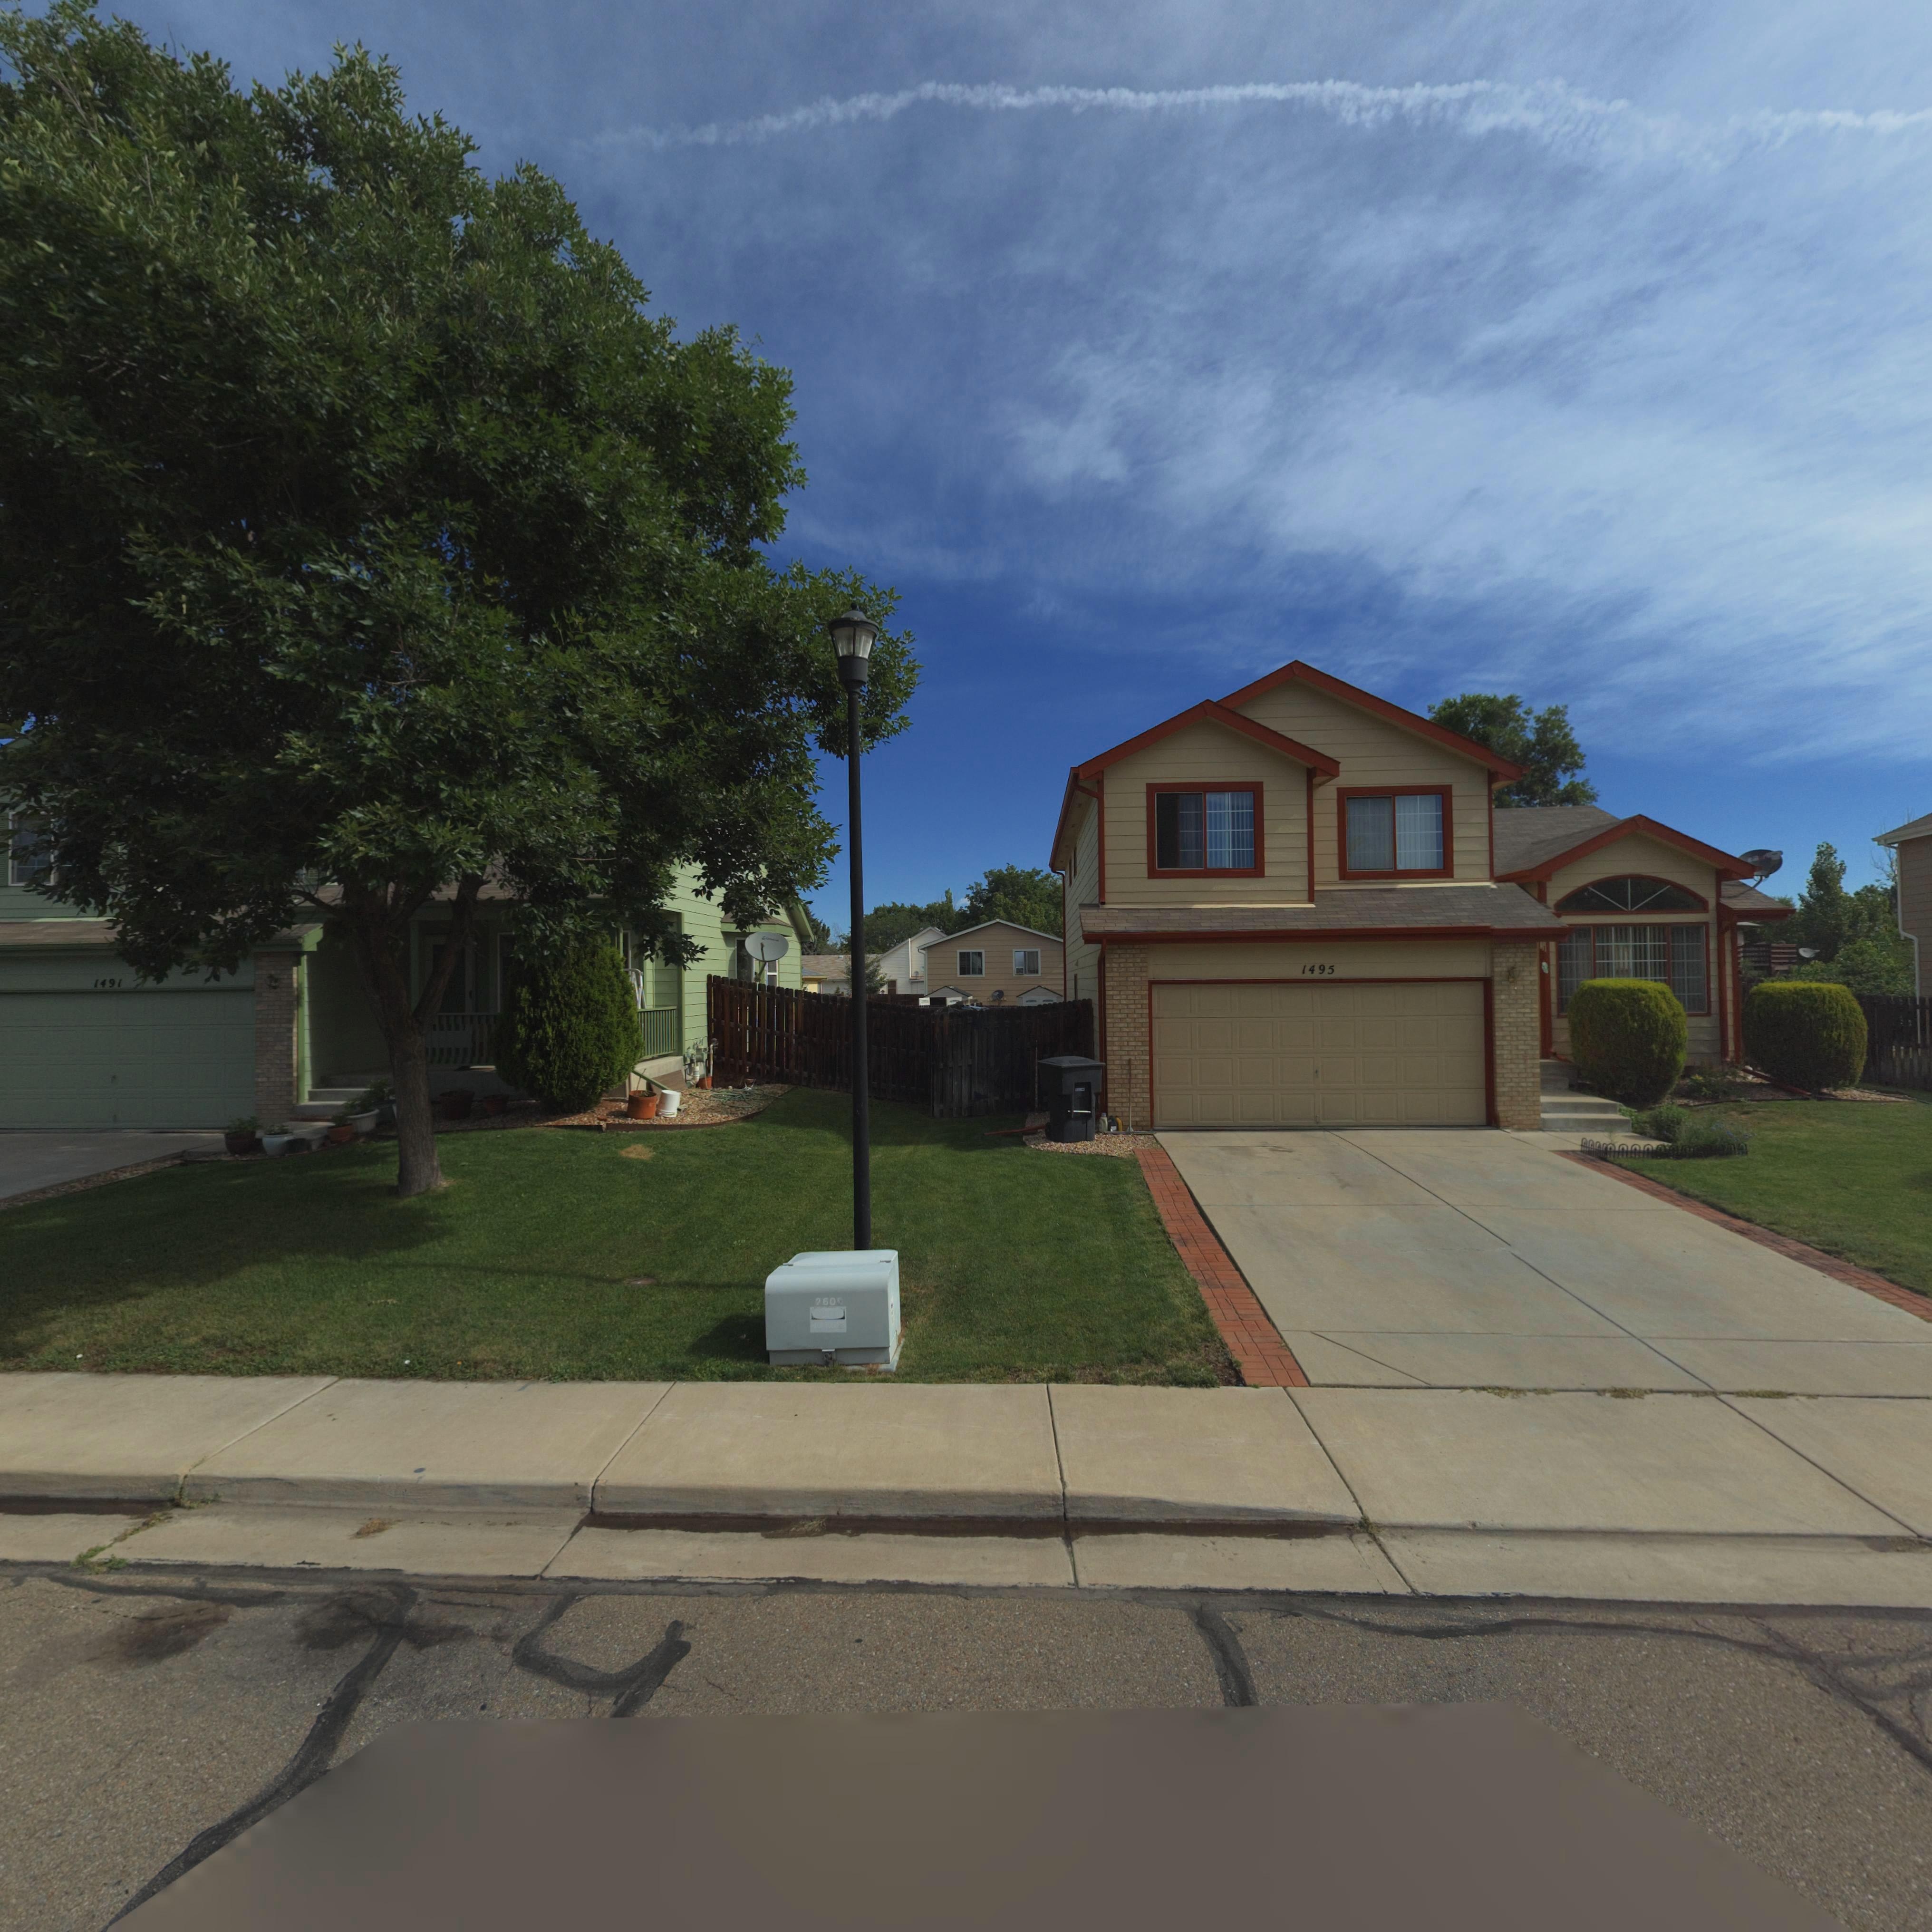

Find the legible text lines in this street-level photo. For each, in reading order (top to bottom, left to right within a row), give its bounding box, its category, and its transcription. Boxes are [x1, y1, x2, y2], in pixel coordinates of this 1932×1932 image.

[1301, 964, 1335, 975] StreetNumber: 1495
[93, 977, 123, 988] StreetNumber: 1491